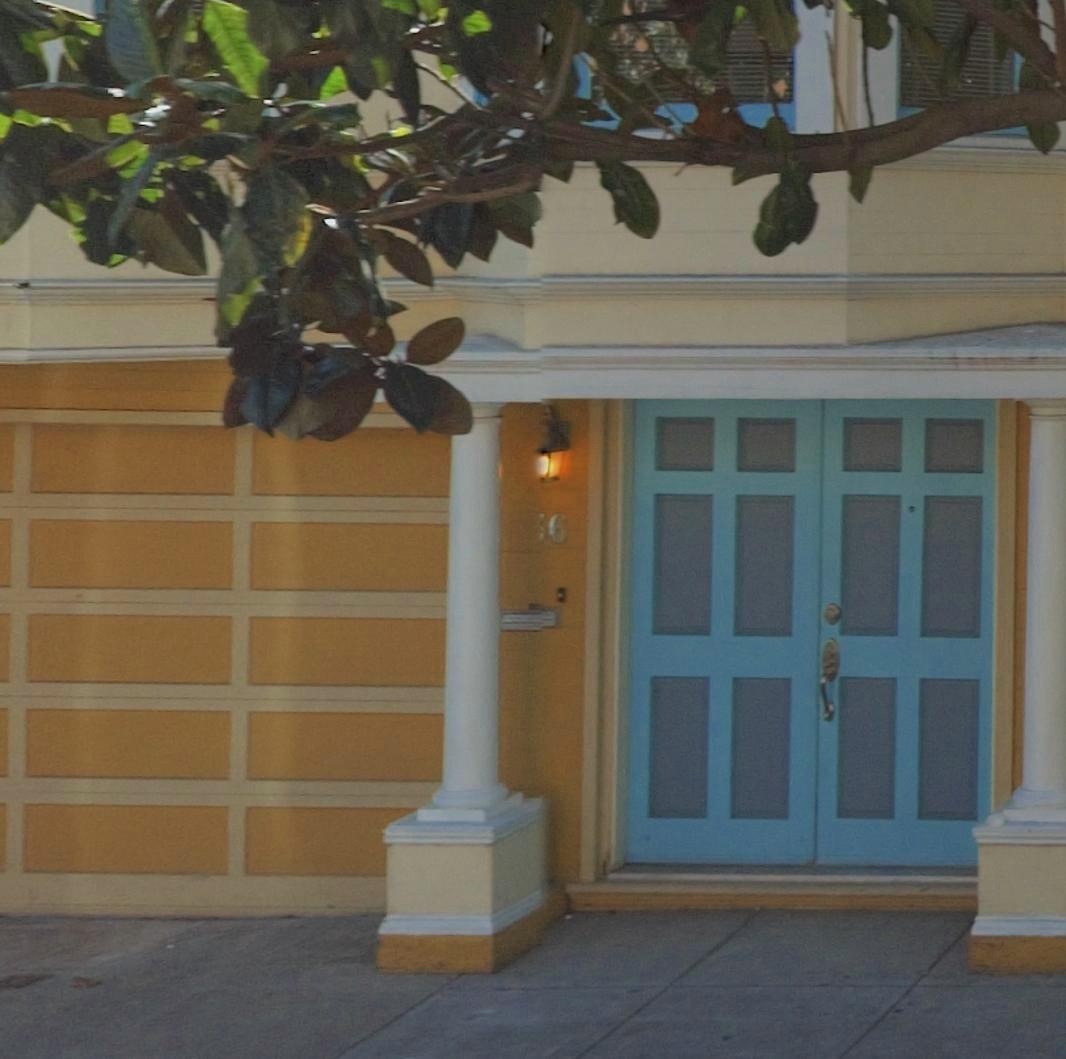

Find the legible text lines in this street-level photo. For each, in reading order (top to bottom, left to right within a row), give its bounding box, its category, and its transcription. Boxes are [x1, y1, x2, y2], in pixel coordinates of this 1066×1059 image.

[528, 508, 571, 549] StreetNumber: 36